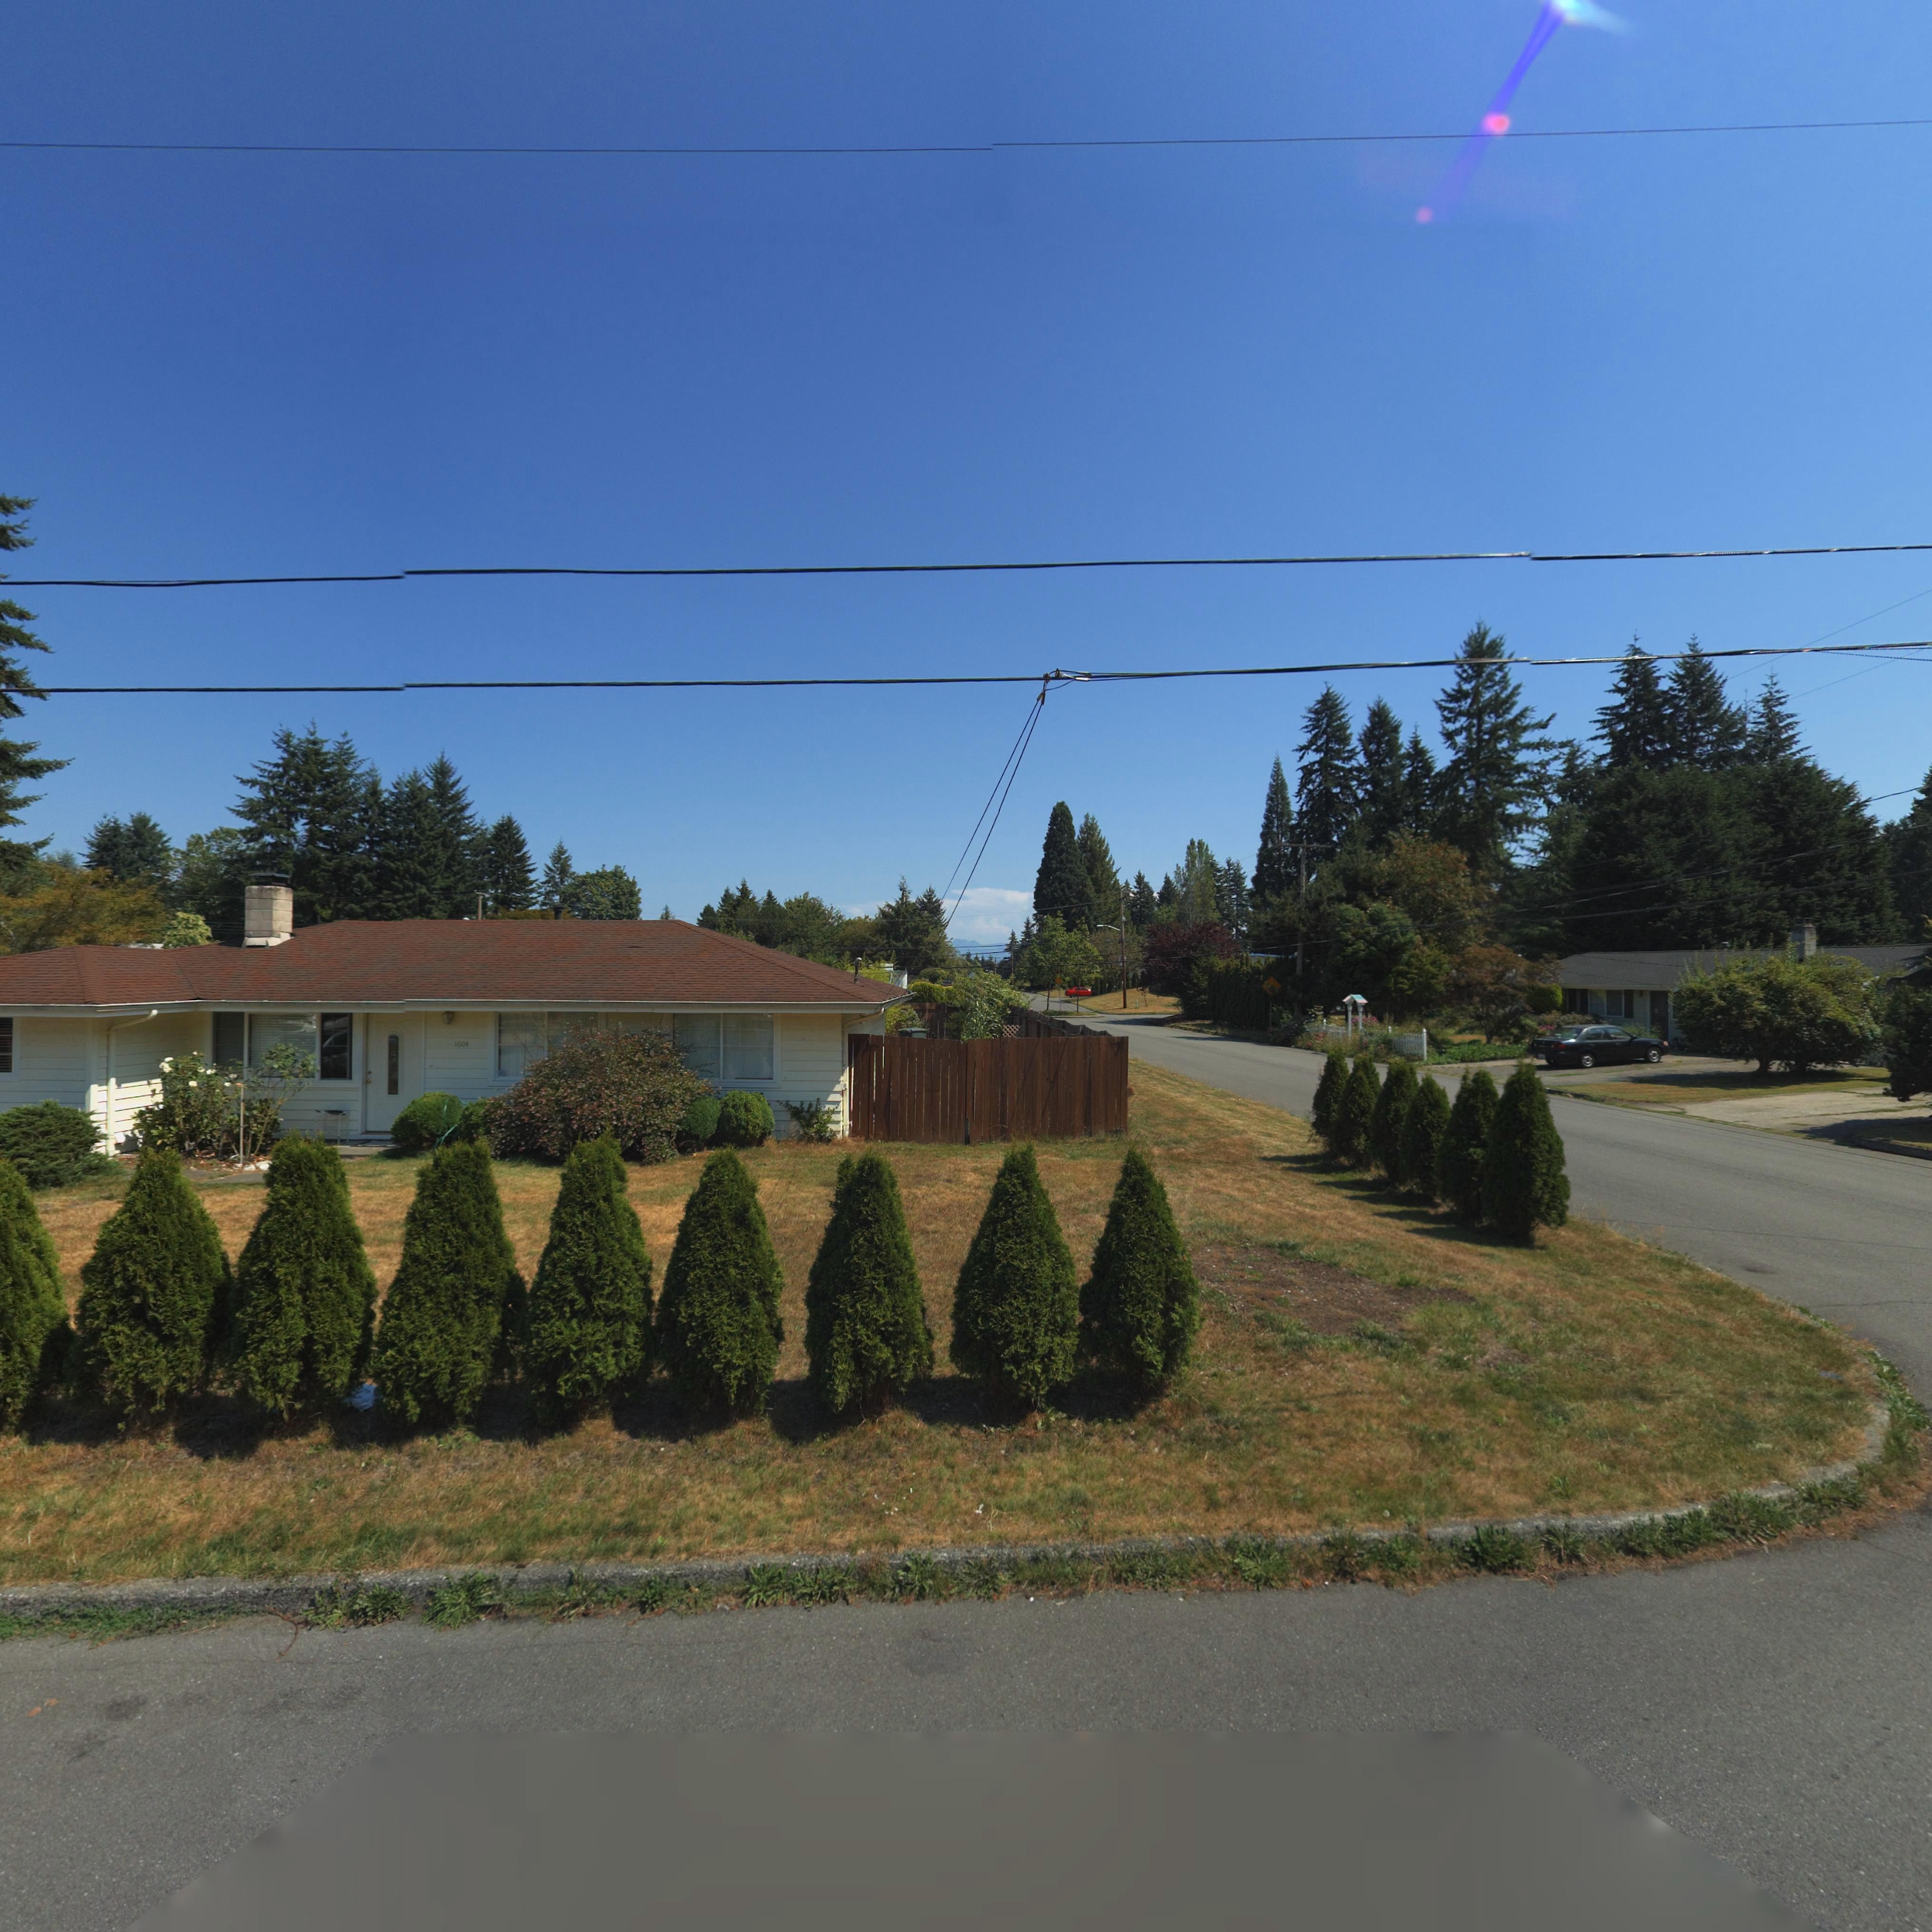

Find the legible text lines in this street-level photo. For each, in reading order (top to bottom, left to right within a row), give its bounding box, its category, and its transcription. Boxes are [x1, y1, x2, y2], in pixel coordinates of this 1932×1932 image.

[454, 1040, 468, 1048] StreetNumber: 1604